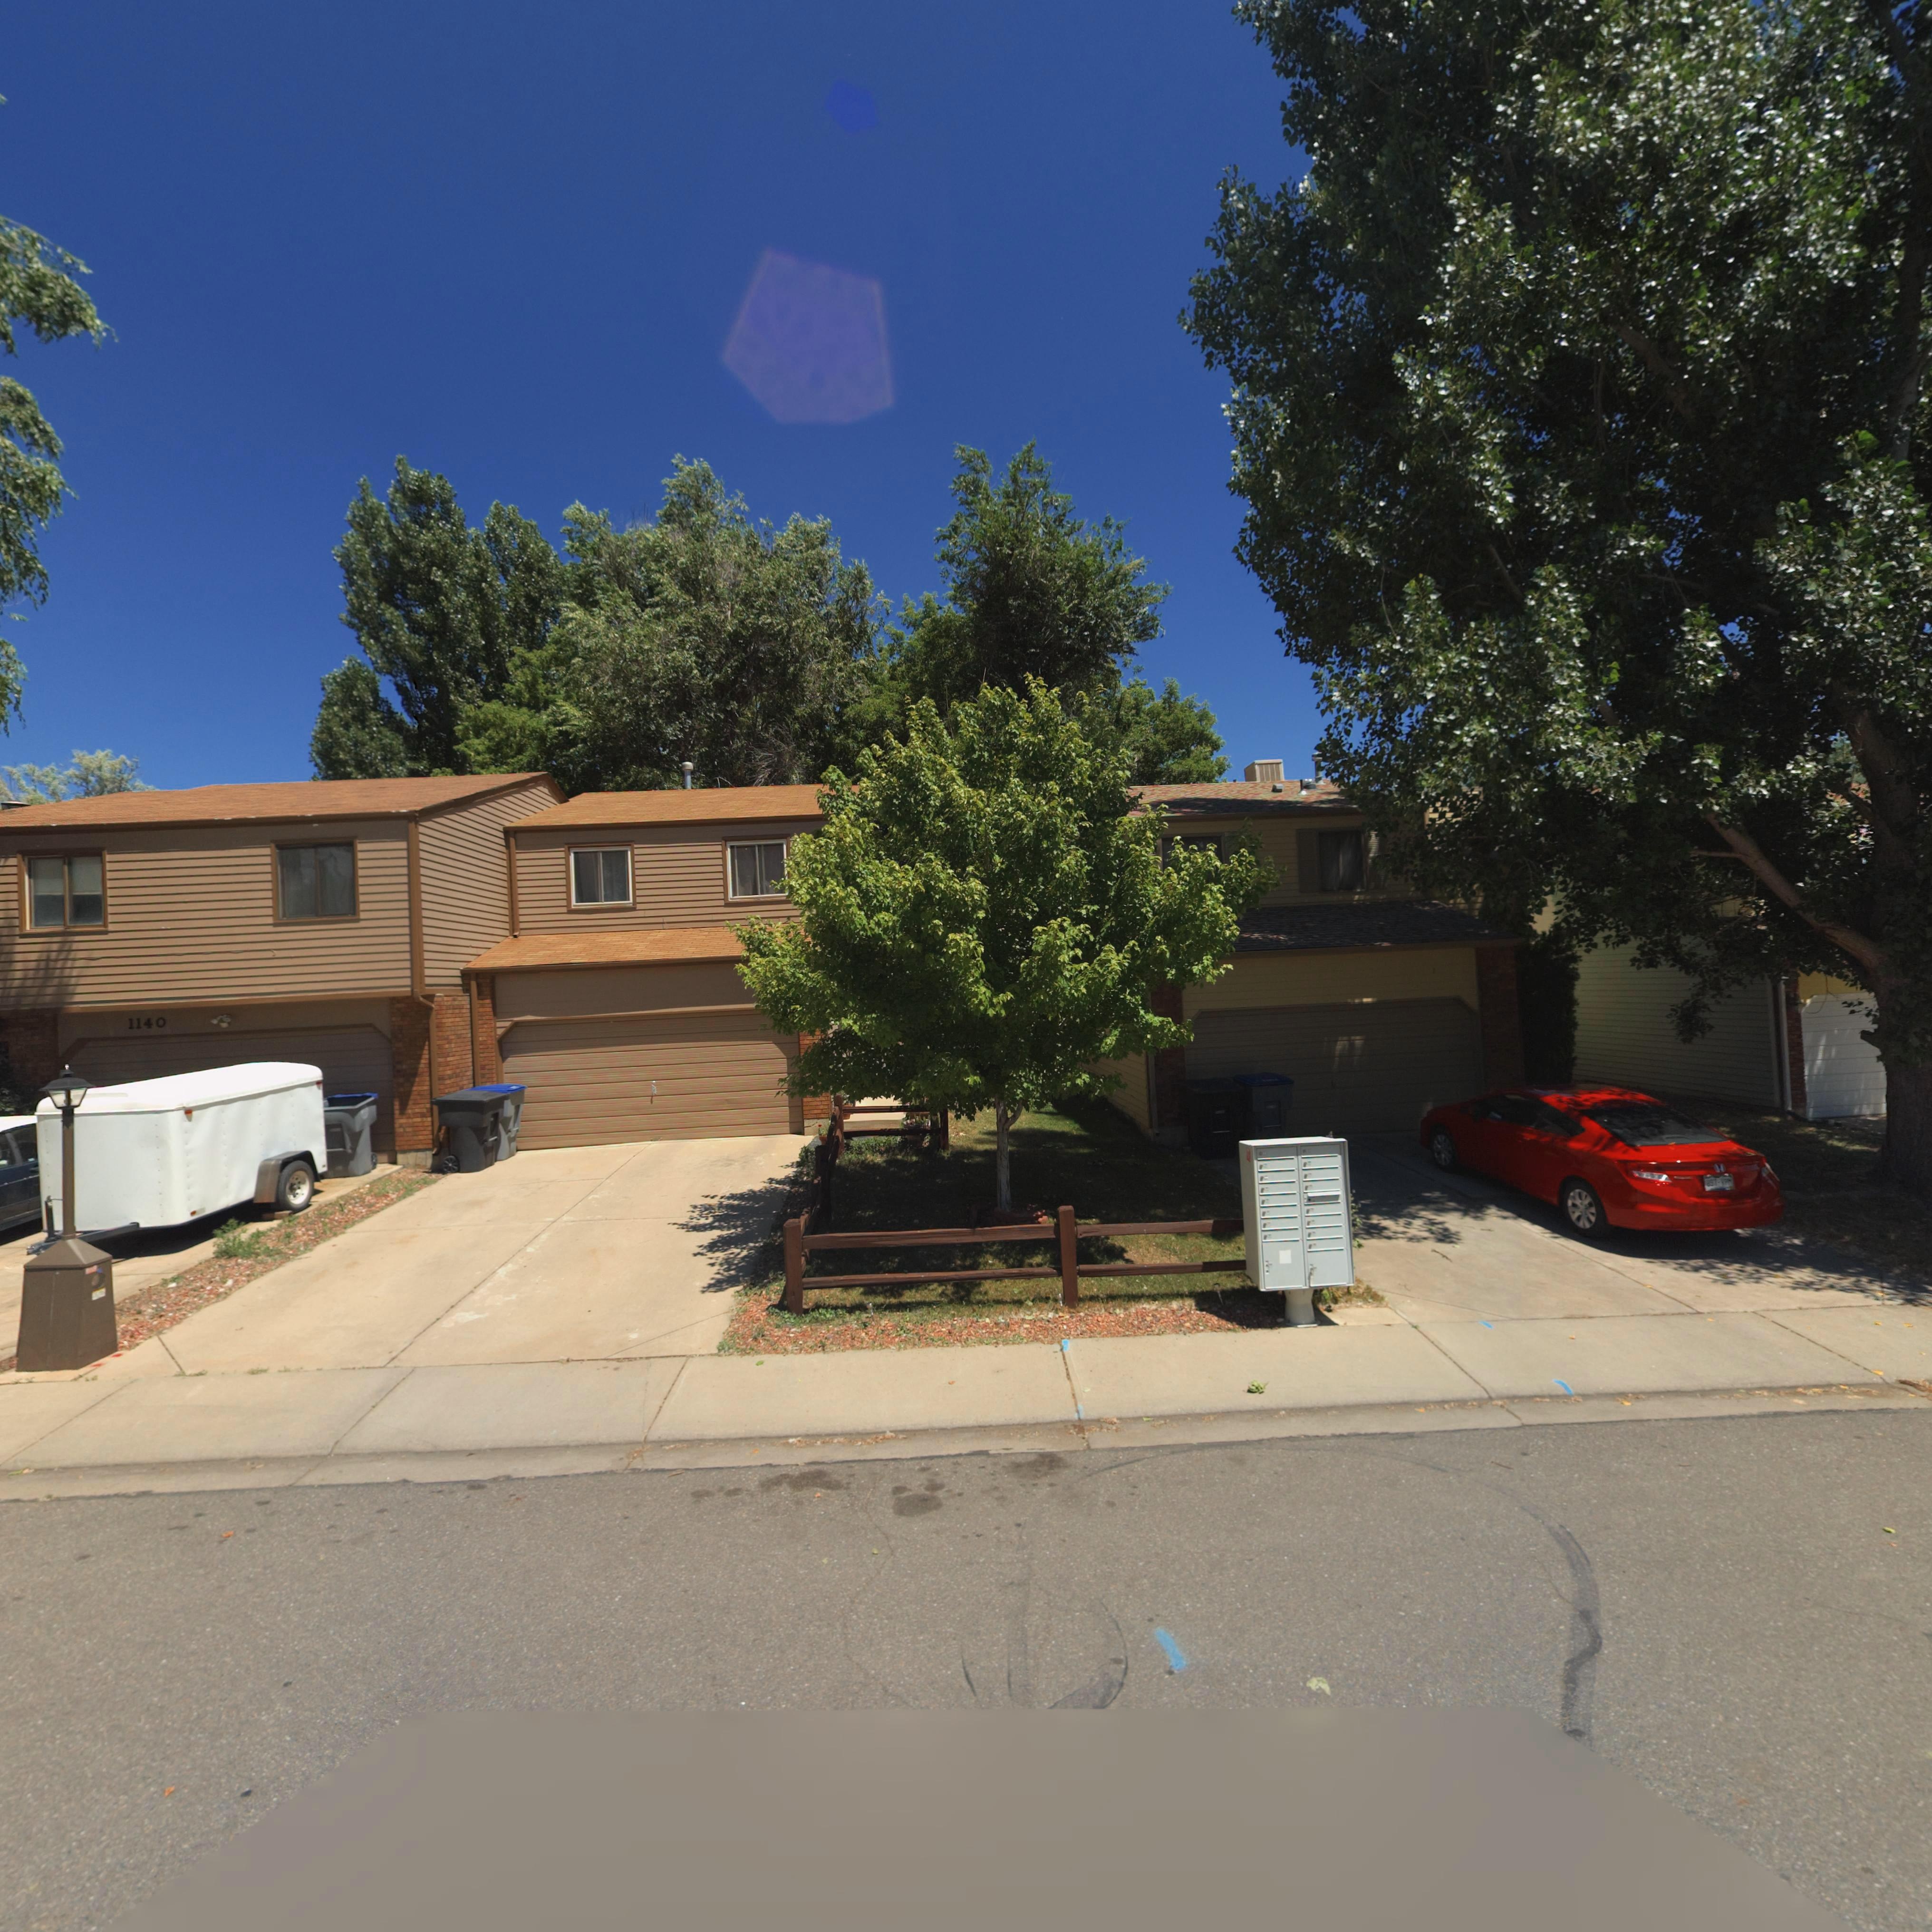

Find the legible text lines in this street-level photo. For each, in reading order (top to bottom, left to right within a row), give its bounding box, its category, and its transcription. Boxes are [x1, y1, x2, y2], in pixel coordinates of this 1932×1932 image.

[126, 1015, 166, 1030] StreetNumber: 1140